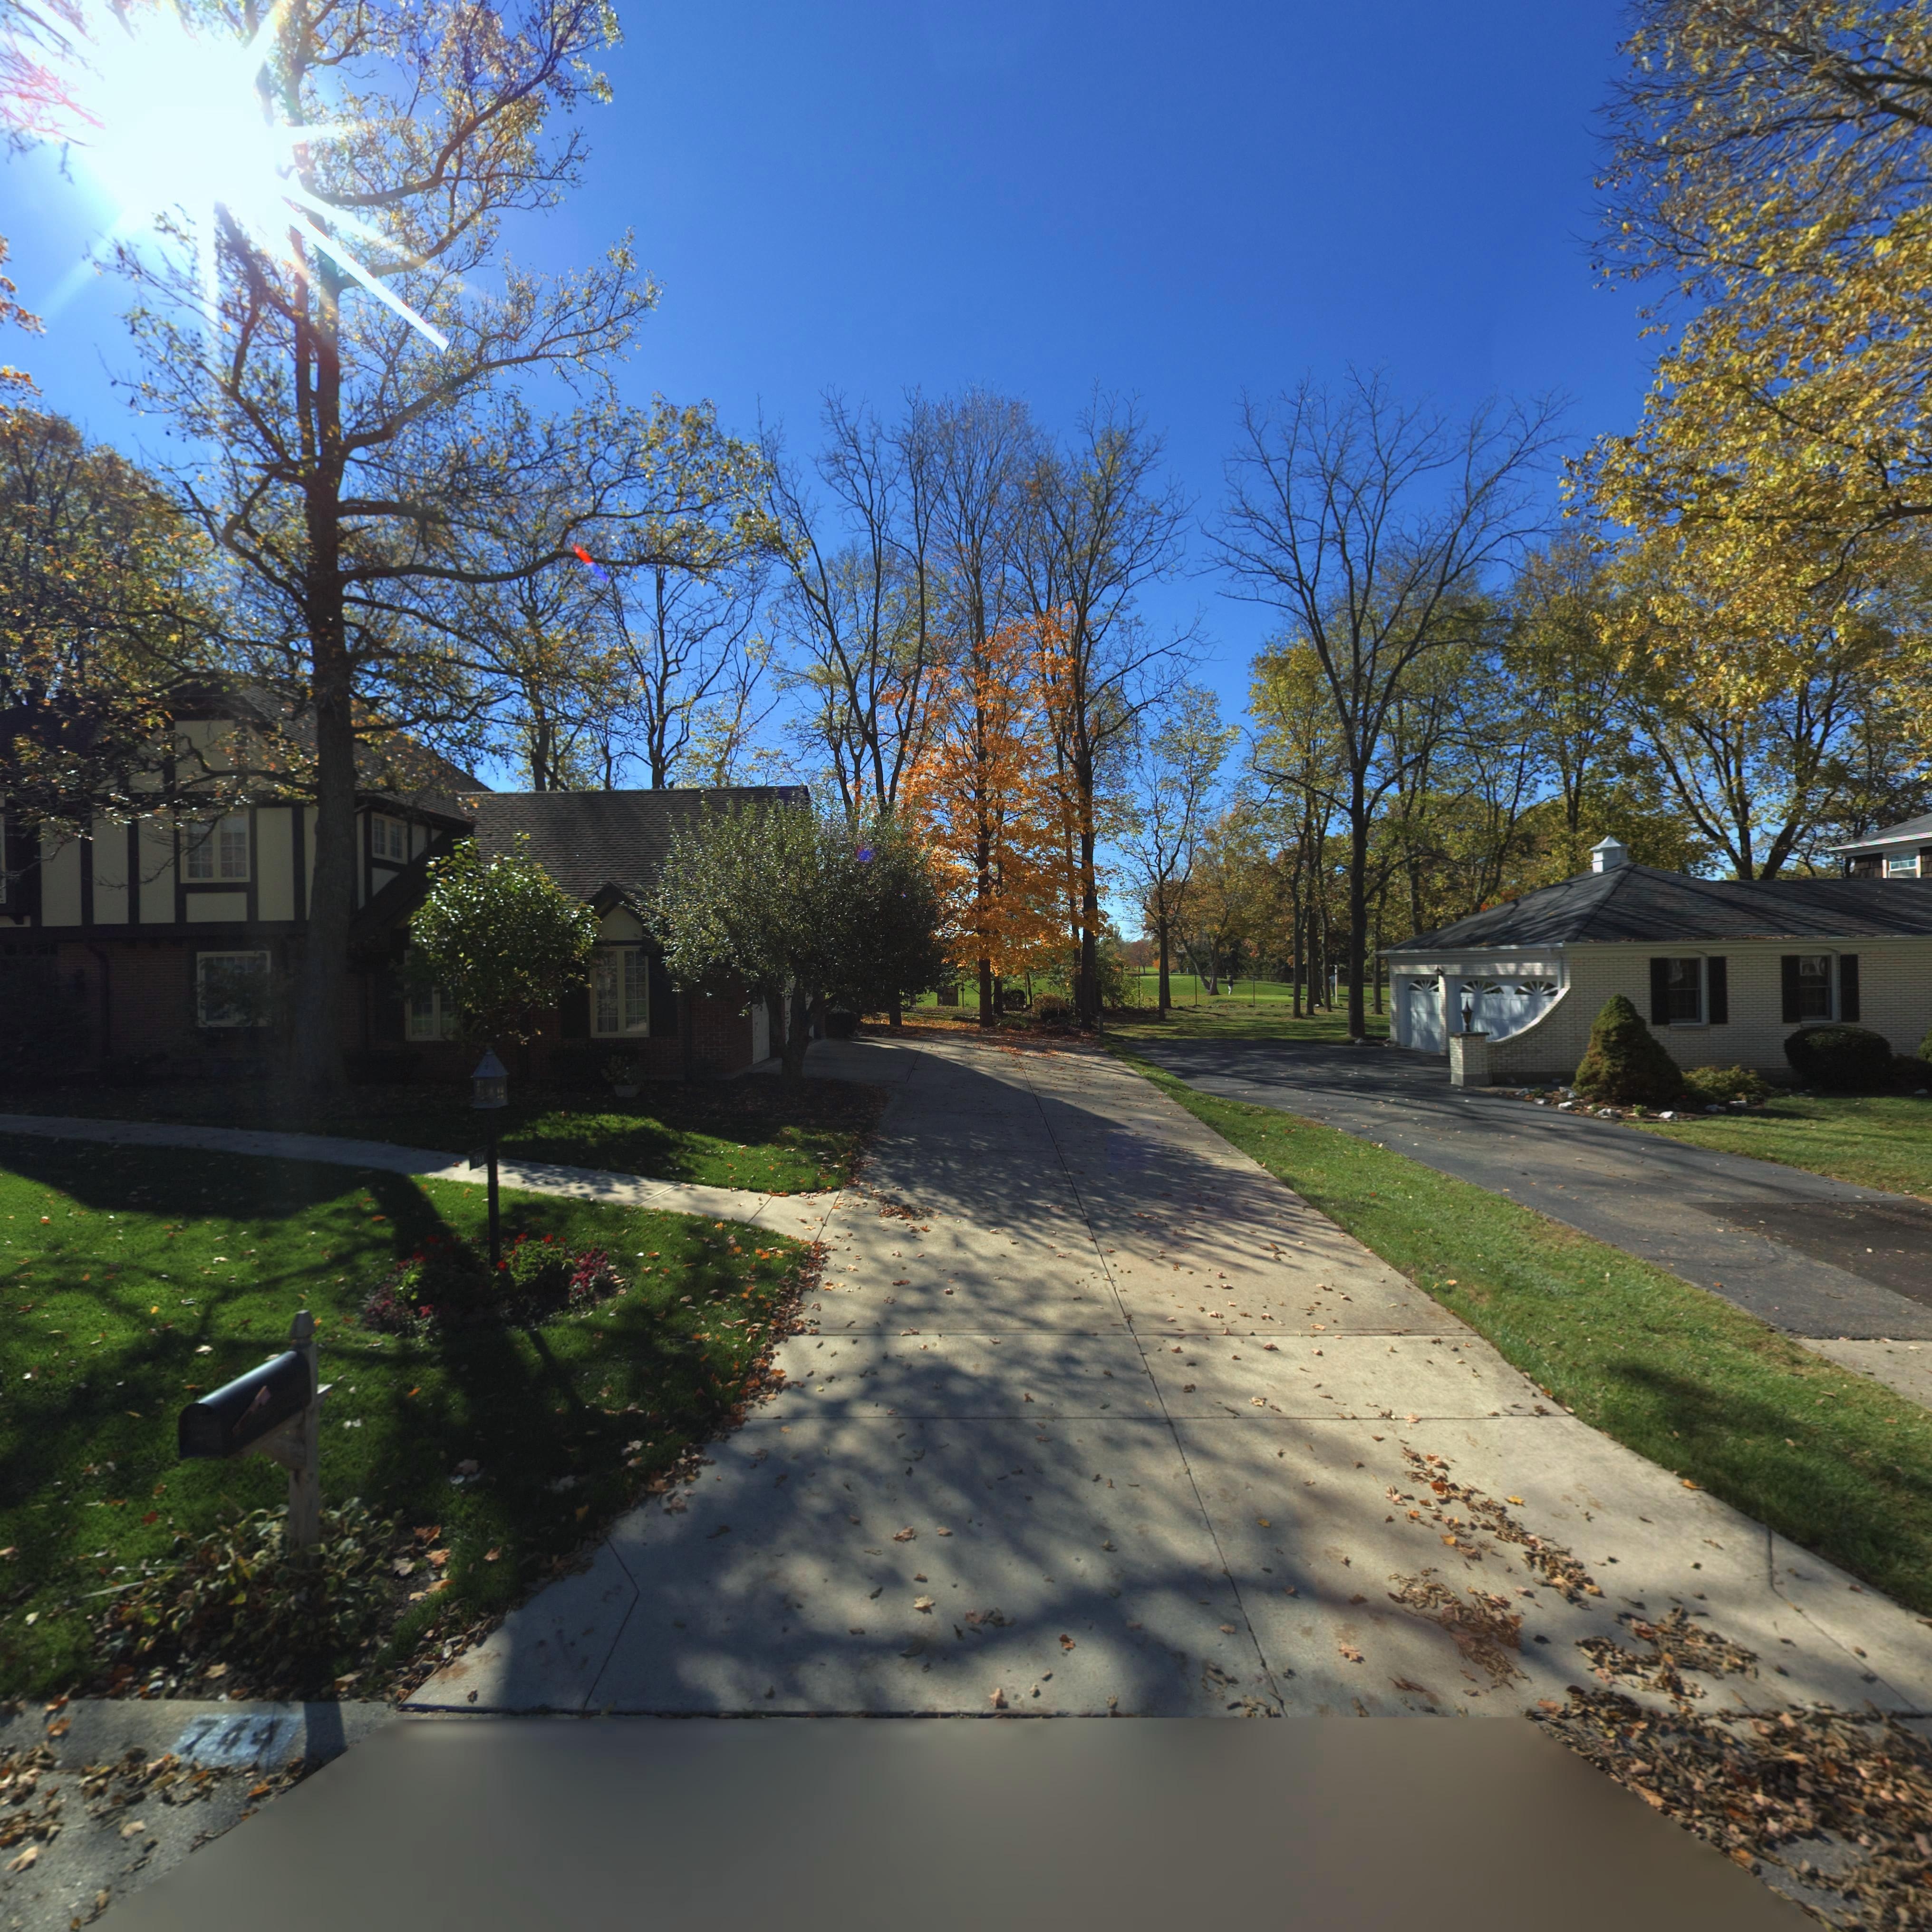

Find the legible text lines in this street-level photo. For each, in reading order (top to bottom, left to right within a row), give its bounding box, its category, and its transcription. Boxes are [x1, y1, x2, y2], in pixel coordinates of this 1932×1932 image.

[168, 1716, 288, 1758] StreetNumber: 744